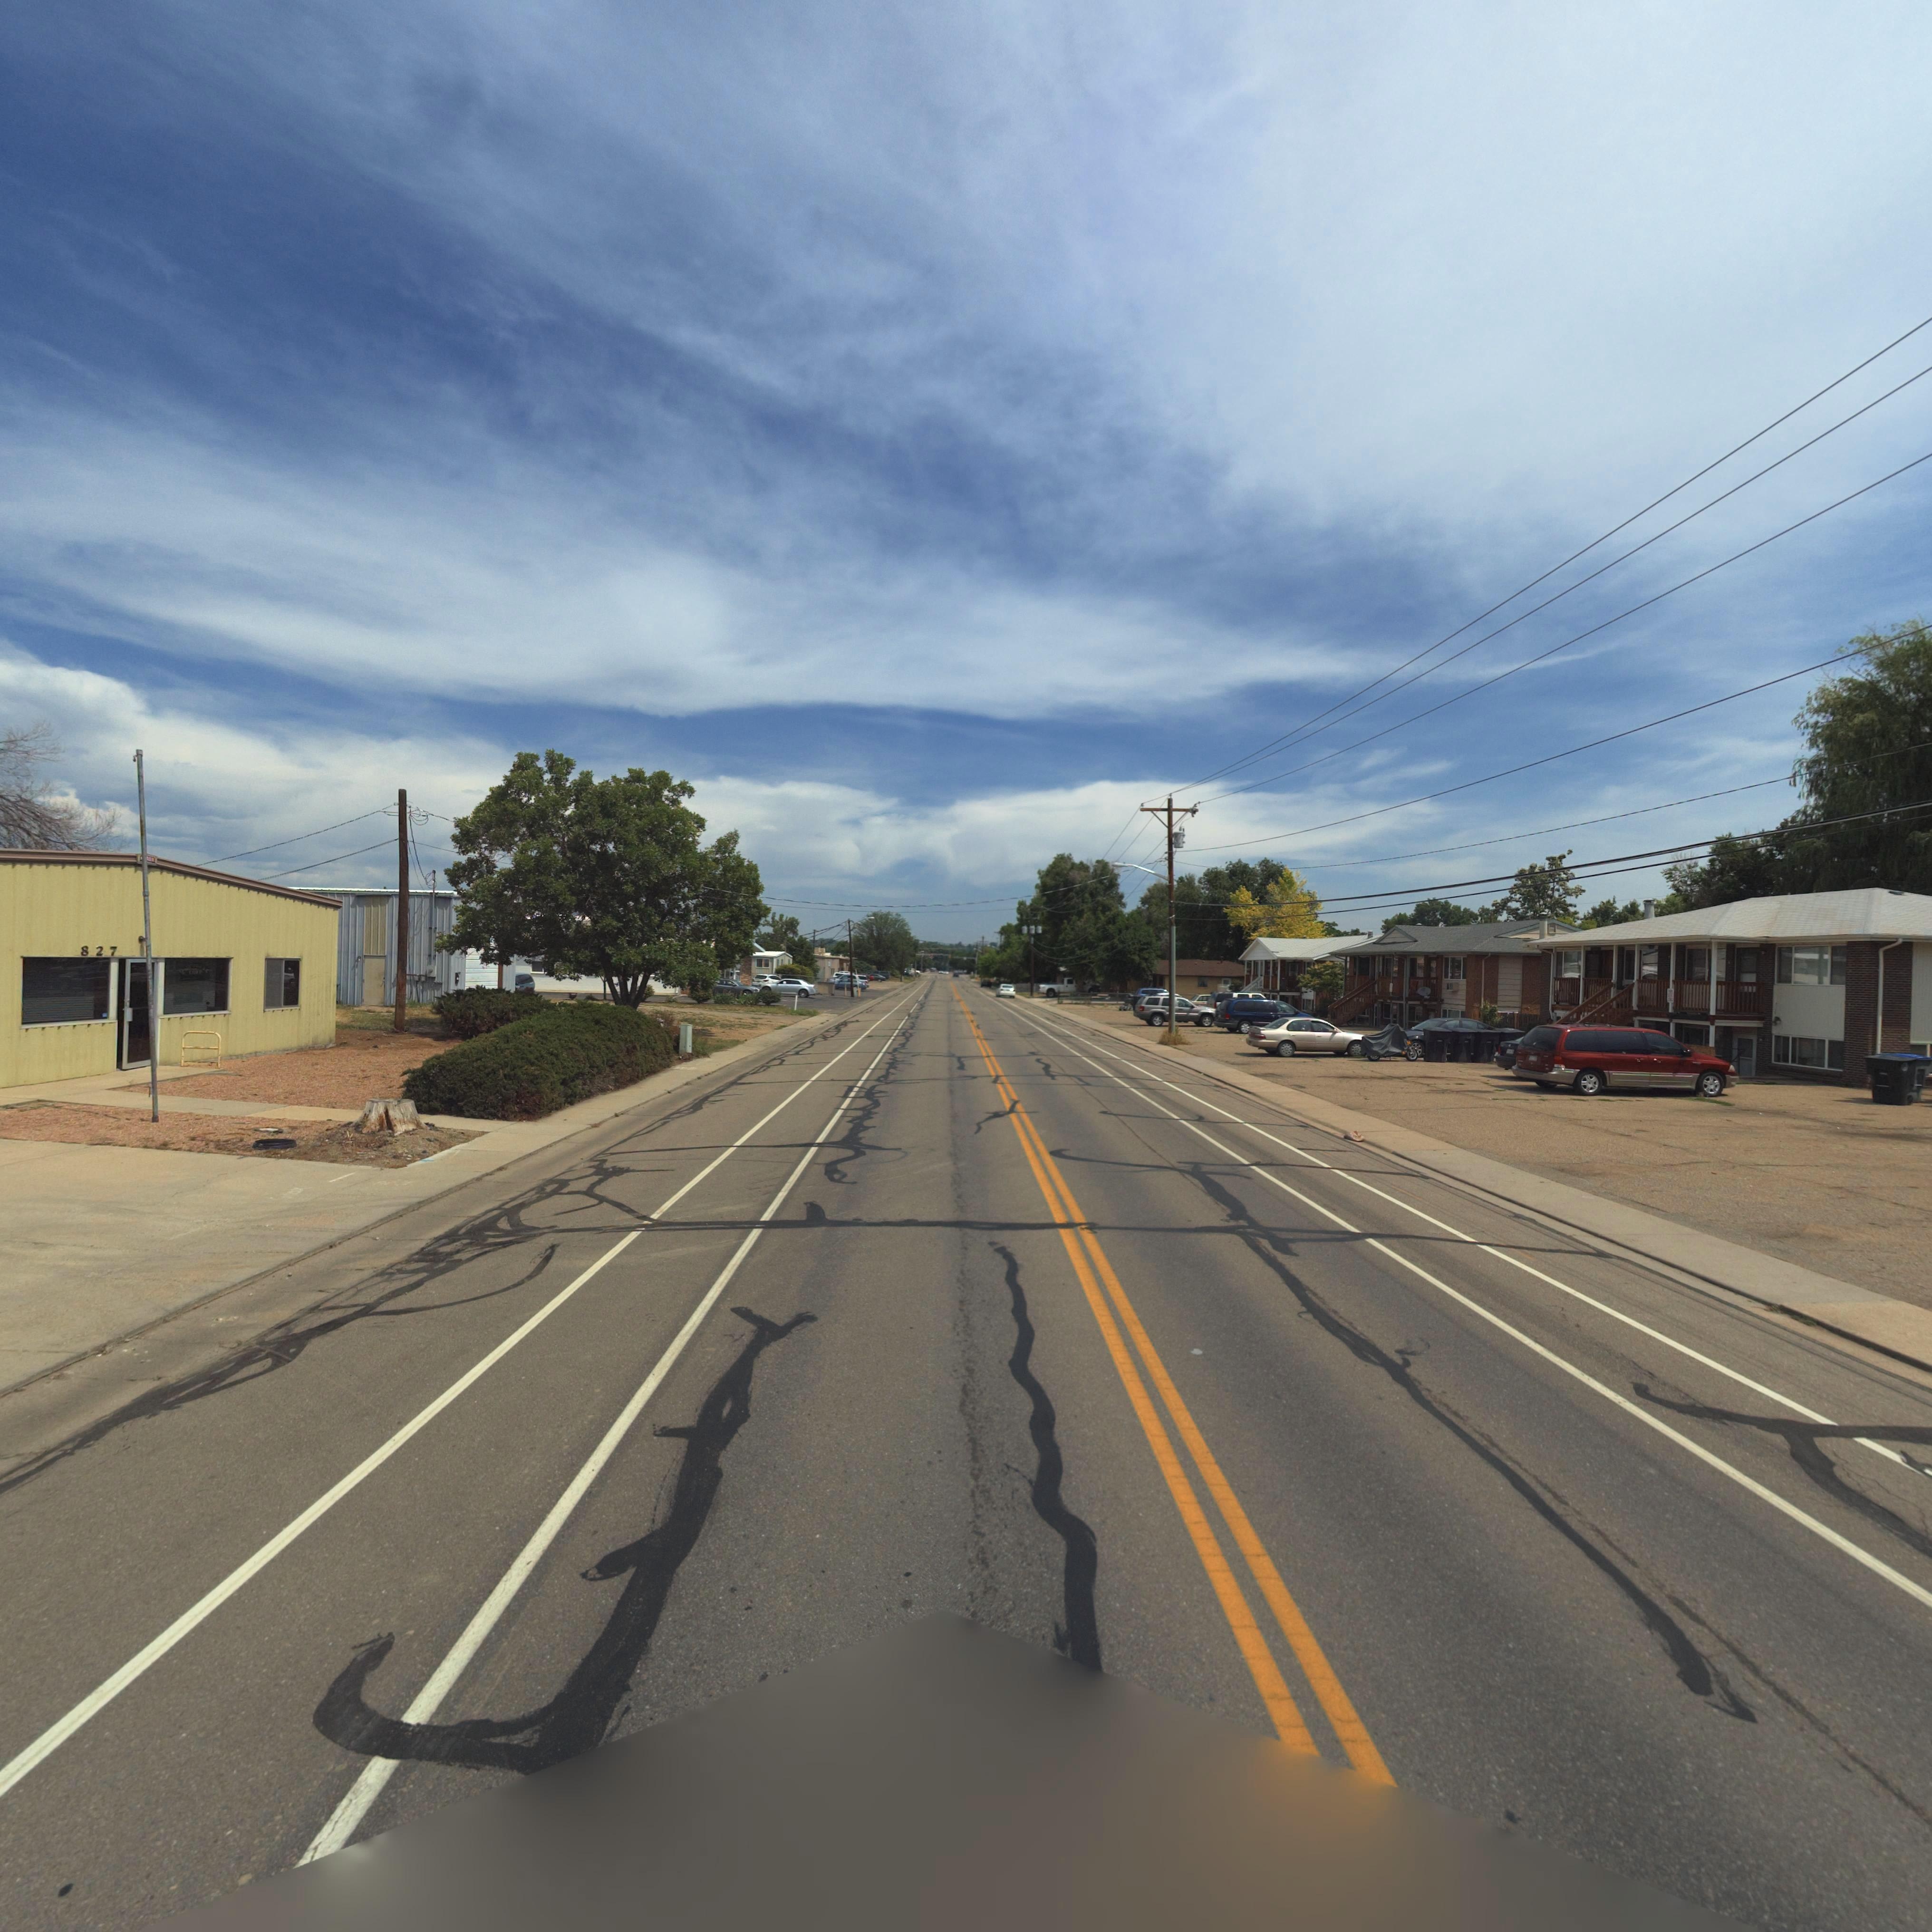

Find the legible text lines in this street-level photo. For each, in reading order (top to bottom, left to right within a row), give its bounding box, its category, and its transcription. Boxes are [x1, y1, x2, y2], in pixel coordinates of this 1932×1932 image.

[80, 945, 117, 956] StreetNumber: 827